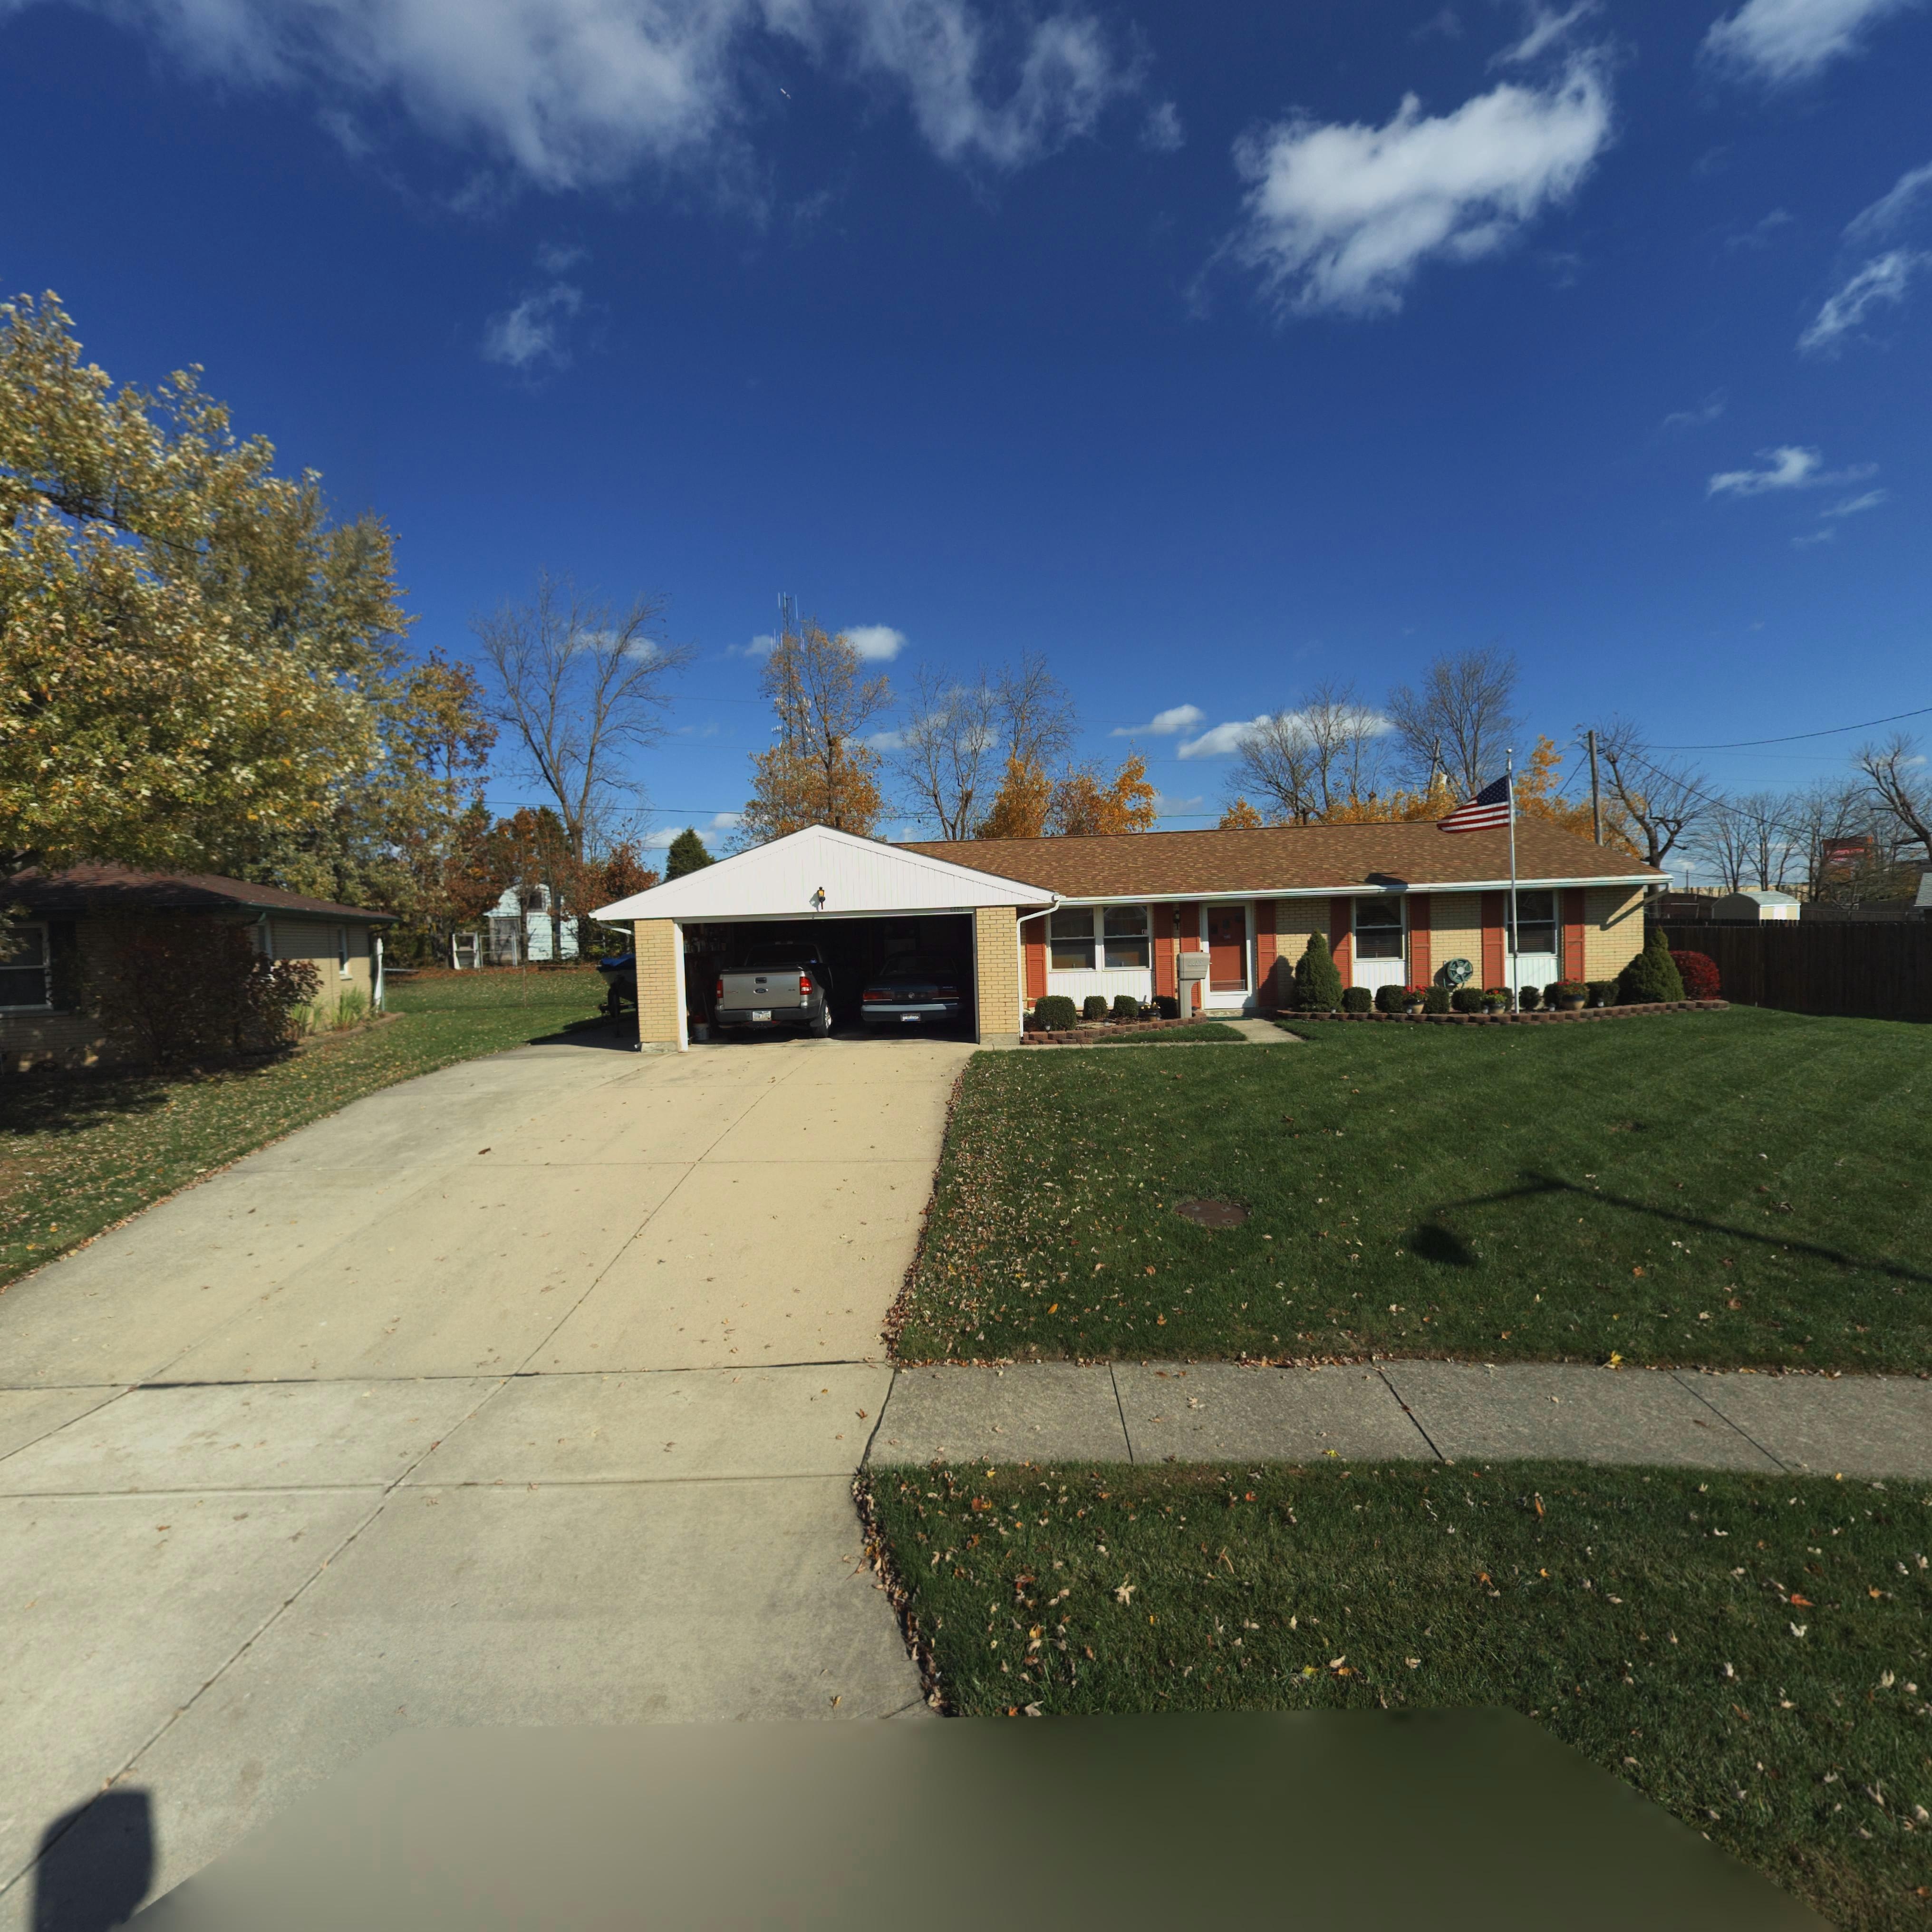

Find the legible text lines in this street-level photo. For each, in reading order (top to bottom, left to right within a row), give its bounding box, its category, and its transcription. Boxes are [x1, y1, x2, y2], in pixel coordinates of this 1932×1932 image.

[949, 906, 965, 914] StreetNumber: 6685
[1187, 958, 1206, 967] StreetNumber: ***5